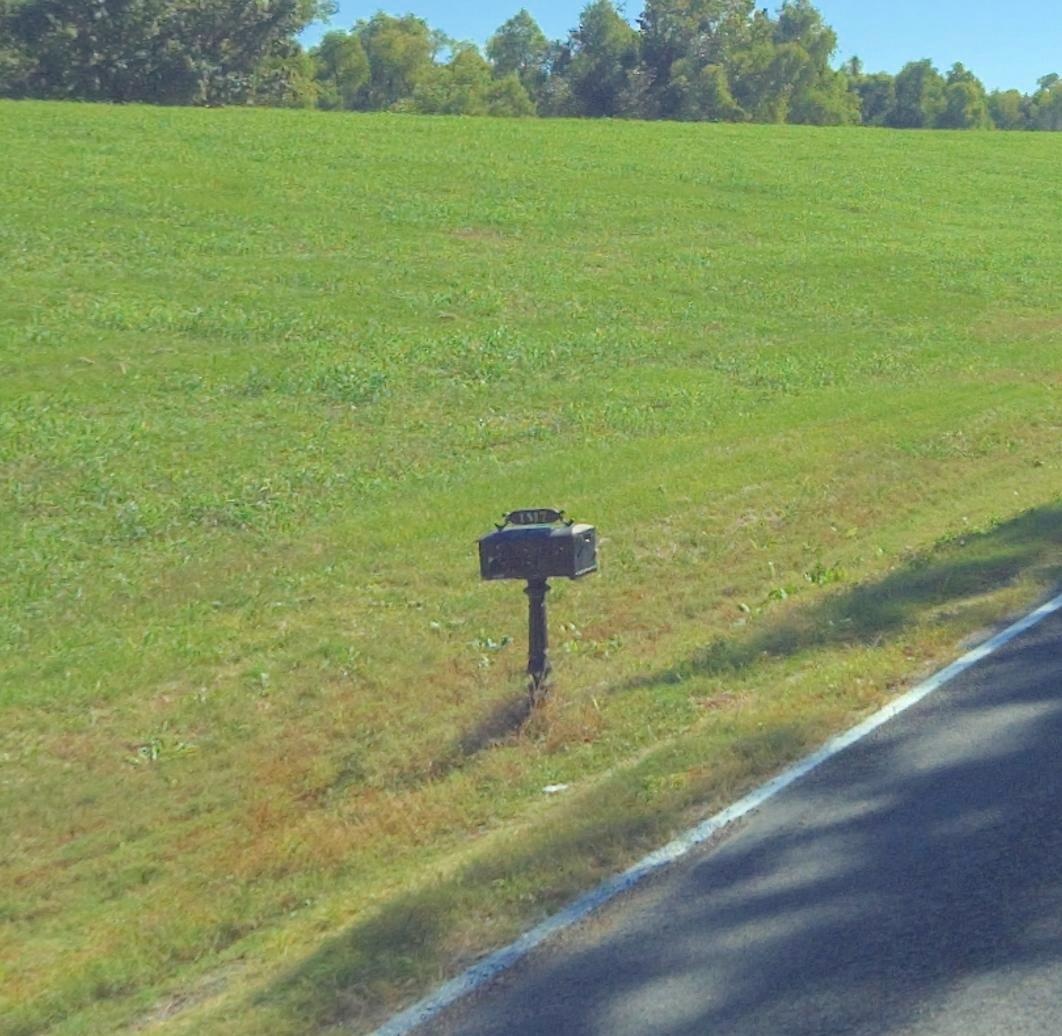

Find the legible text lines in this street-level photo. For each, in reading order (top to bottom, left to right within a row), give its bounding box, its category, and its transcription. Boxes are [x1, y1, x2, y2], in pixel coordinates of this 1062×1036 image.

[518, 510, 548, 524] StreetNumber: 1517